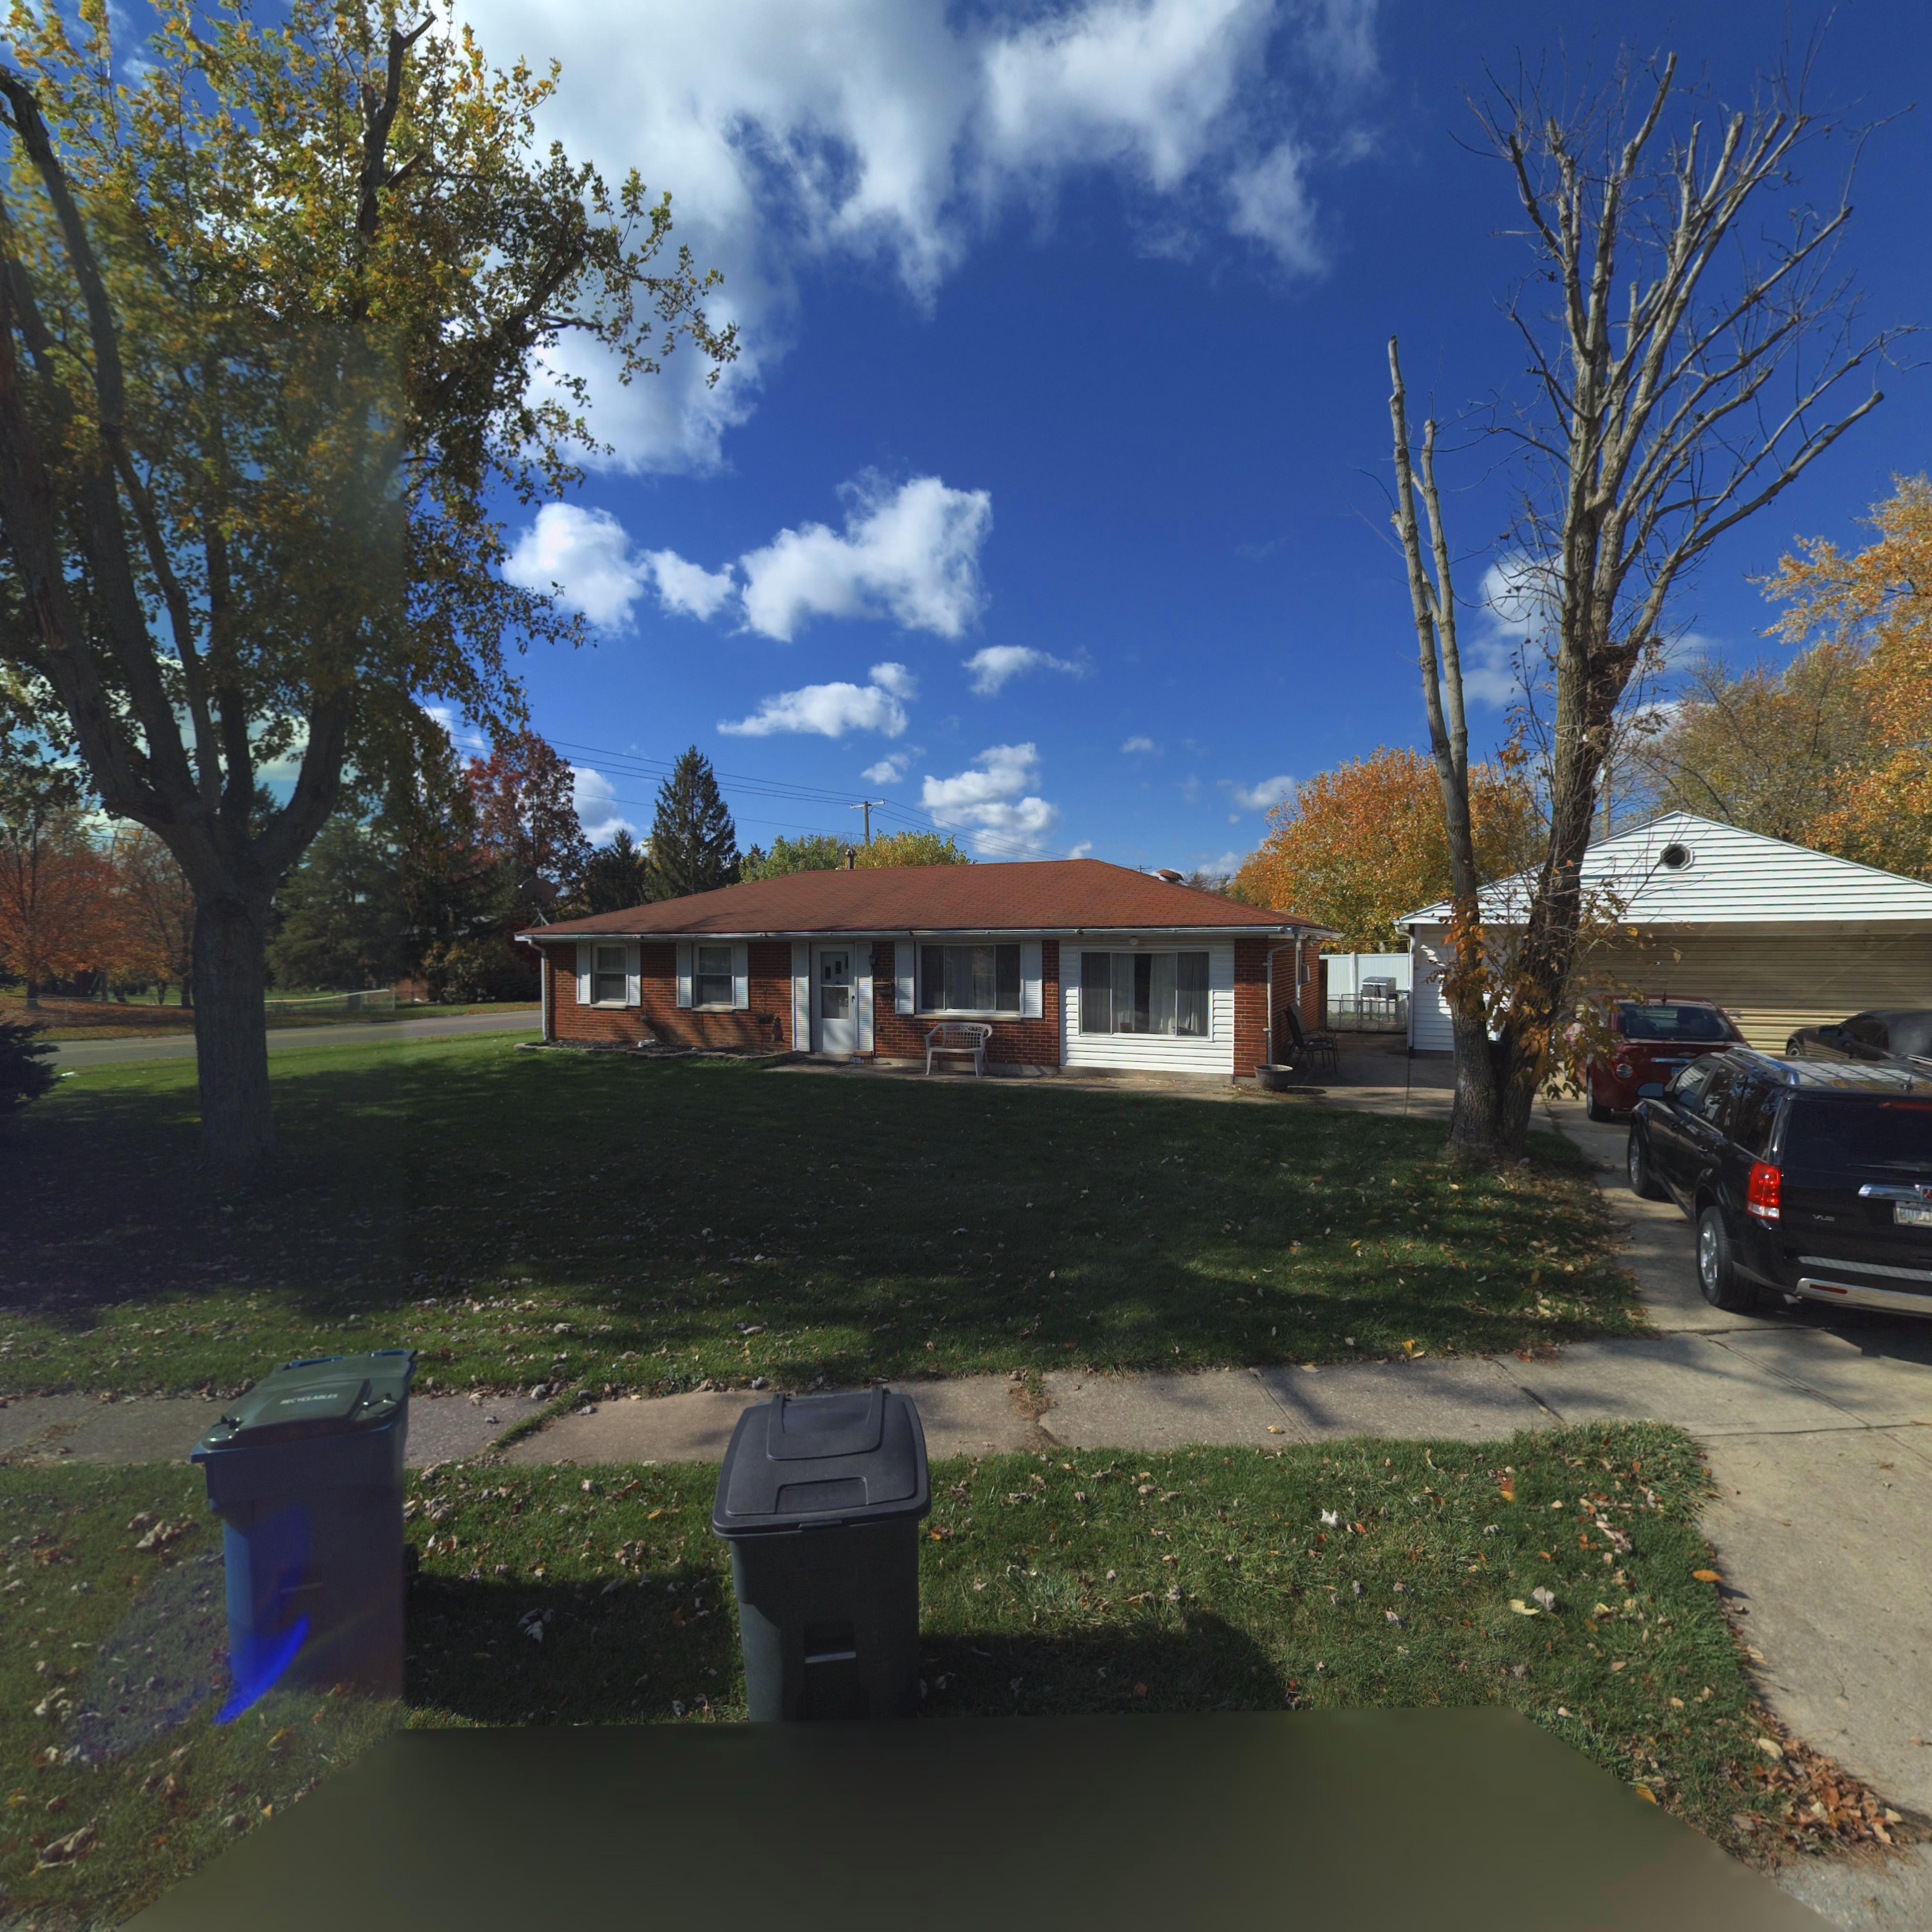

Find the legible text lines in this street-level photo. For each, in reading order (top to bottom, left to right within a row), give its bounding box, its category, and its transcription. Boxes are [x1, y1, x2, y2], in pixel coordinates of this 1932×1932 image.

[875, 969, 892, 975] StreetNumber: 7*0*